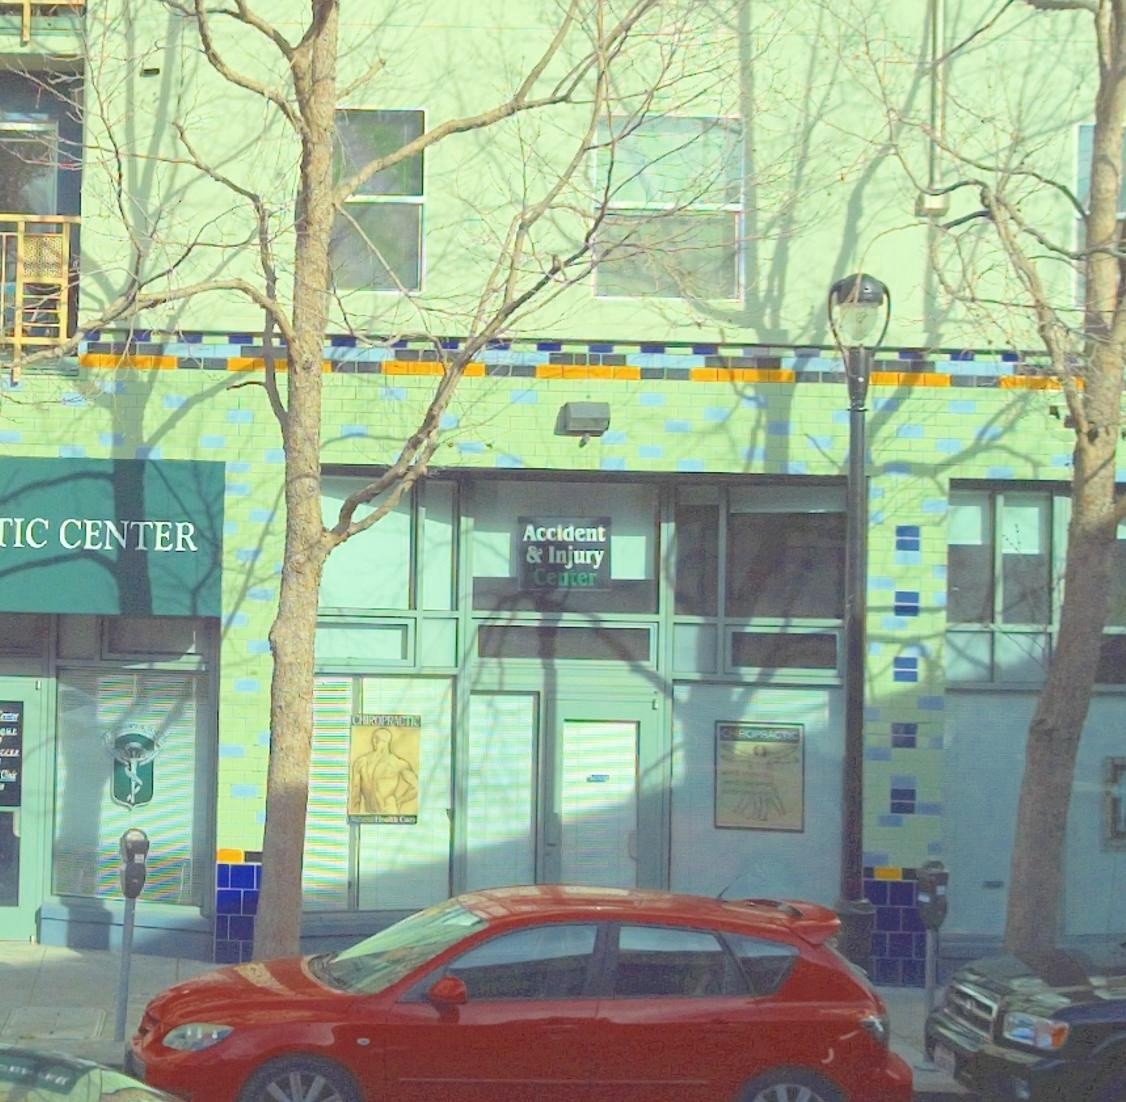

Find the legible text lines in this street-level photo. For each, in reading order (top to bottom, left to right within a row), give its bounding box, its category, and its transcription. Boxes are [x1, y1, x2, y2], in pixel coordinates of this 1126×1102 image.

[9, 512, 203, 556] BusinessName: IC CENTER
[520, 521, 608, 544] BusinessName: Accident
[522, 541, 608, 572] BusinessName: & Injury
[529, 564, 601, 589] BusinessName: Center
[349, 711, 422, 729] None: CHIROPRACTIC
[718, 724, 802, 743] None: CHIROPRACTIC